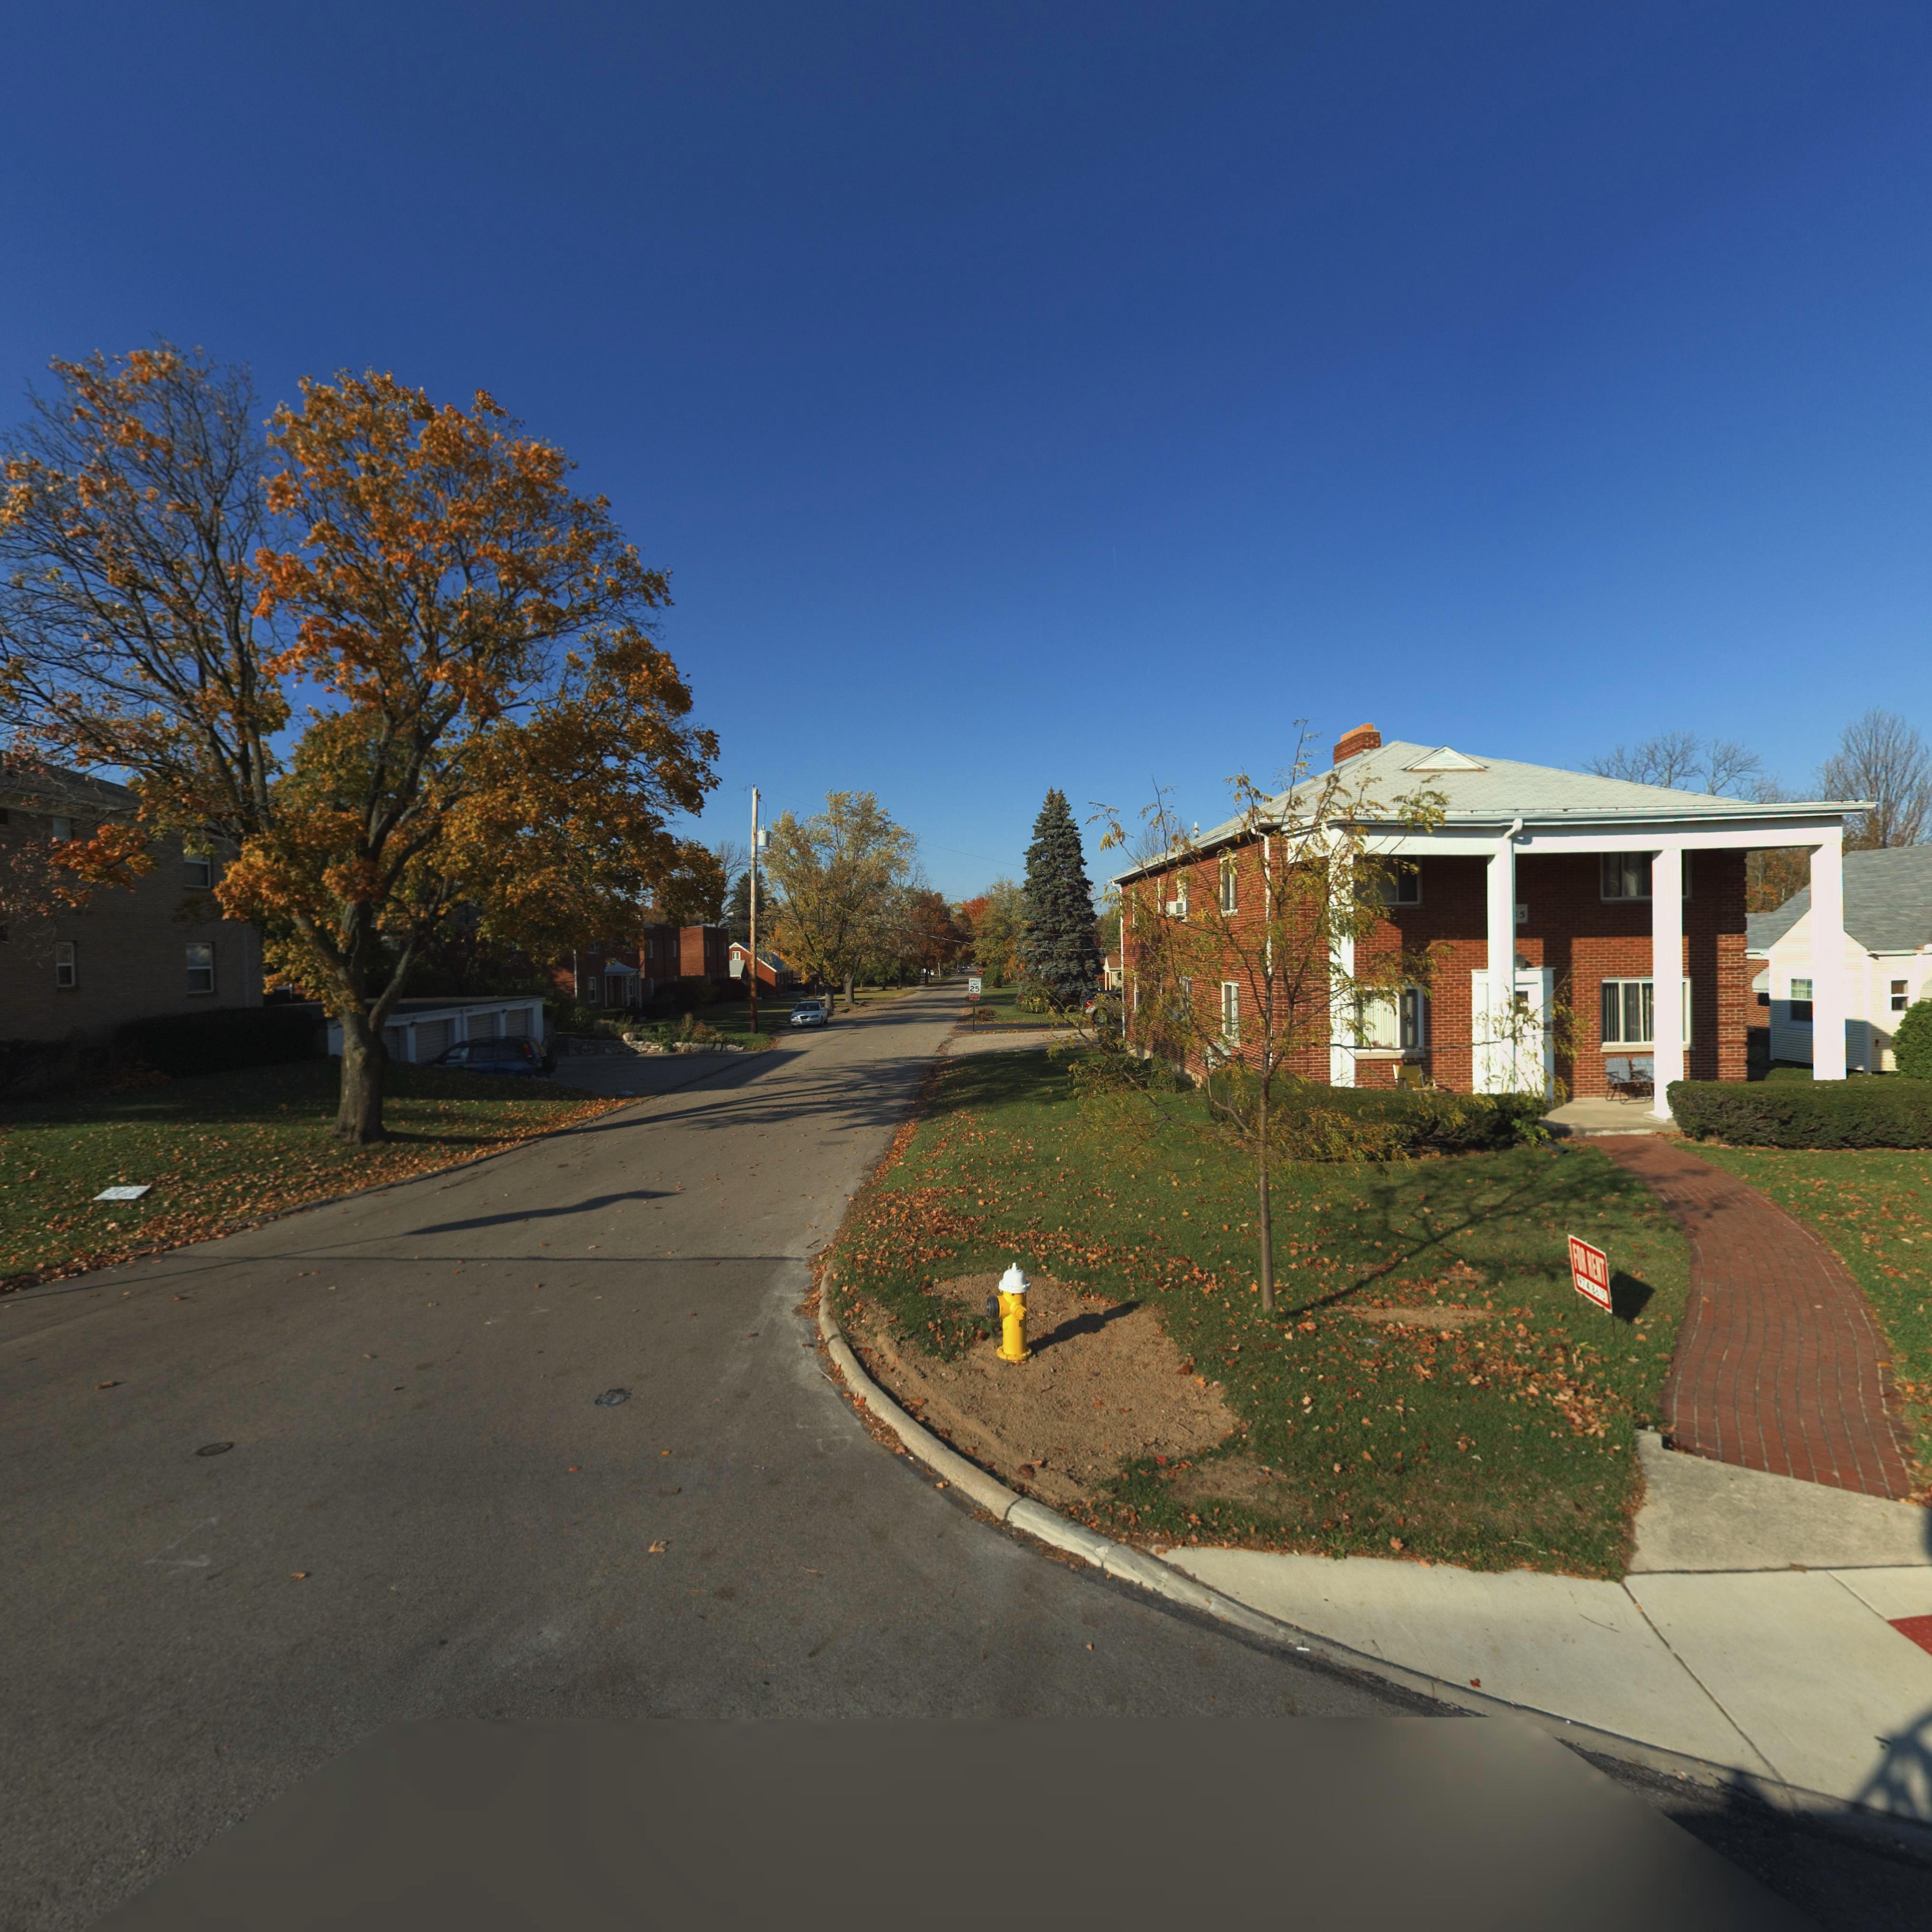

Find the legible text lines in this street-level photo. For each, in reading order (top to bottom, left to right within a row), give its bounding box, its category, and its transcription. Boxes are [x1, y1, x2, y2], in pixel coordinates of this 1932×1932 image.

[1518, 910, 1526, 919] StreetNumber: 5